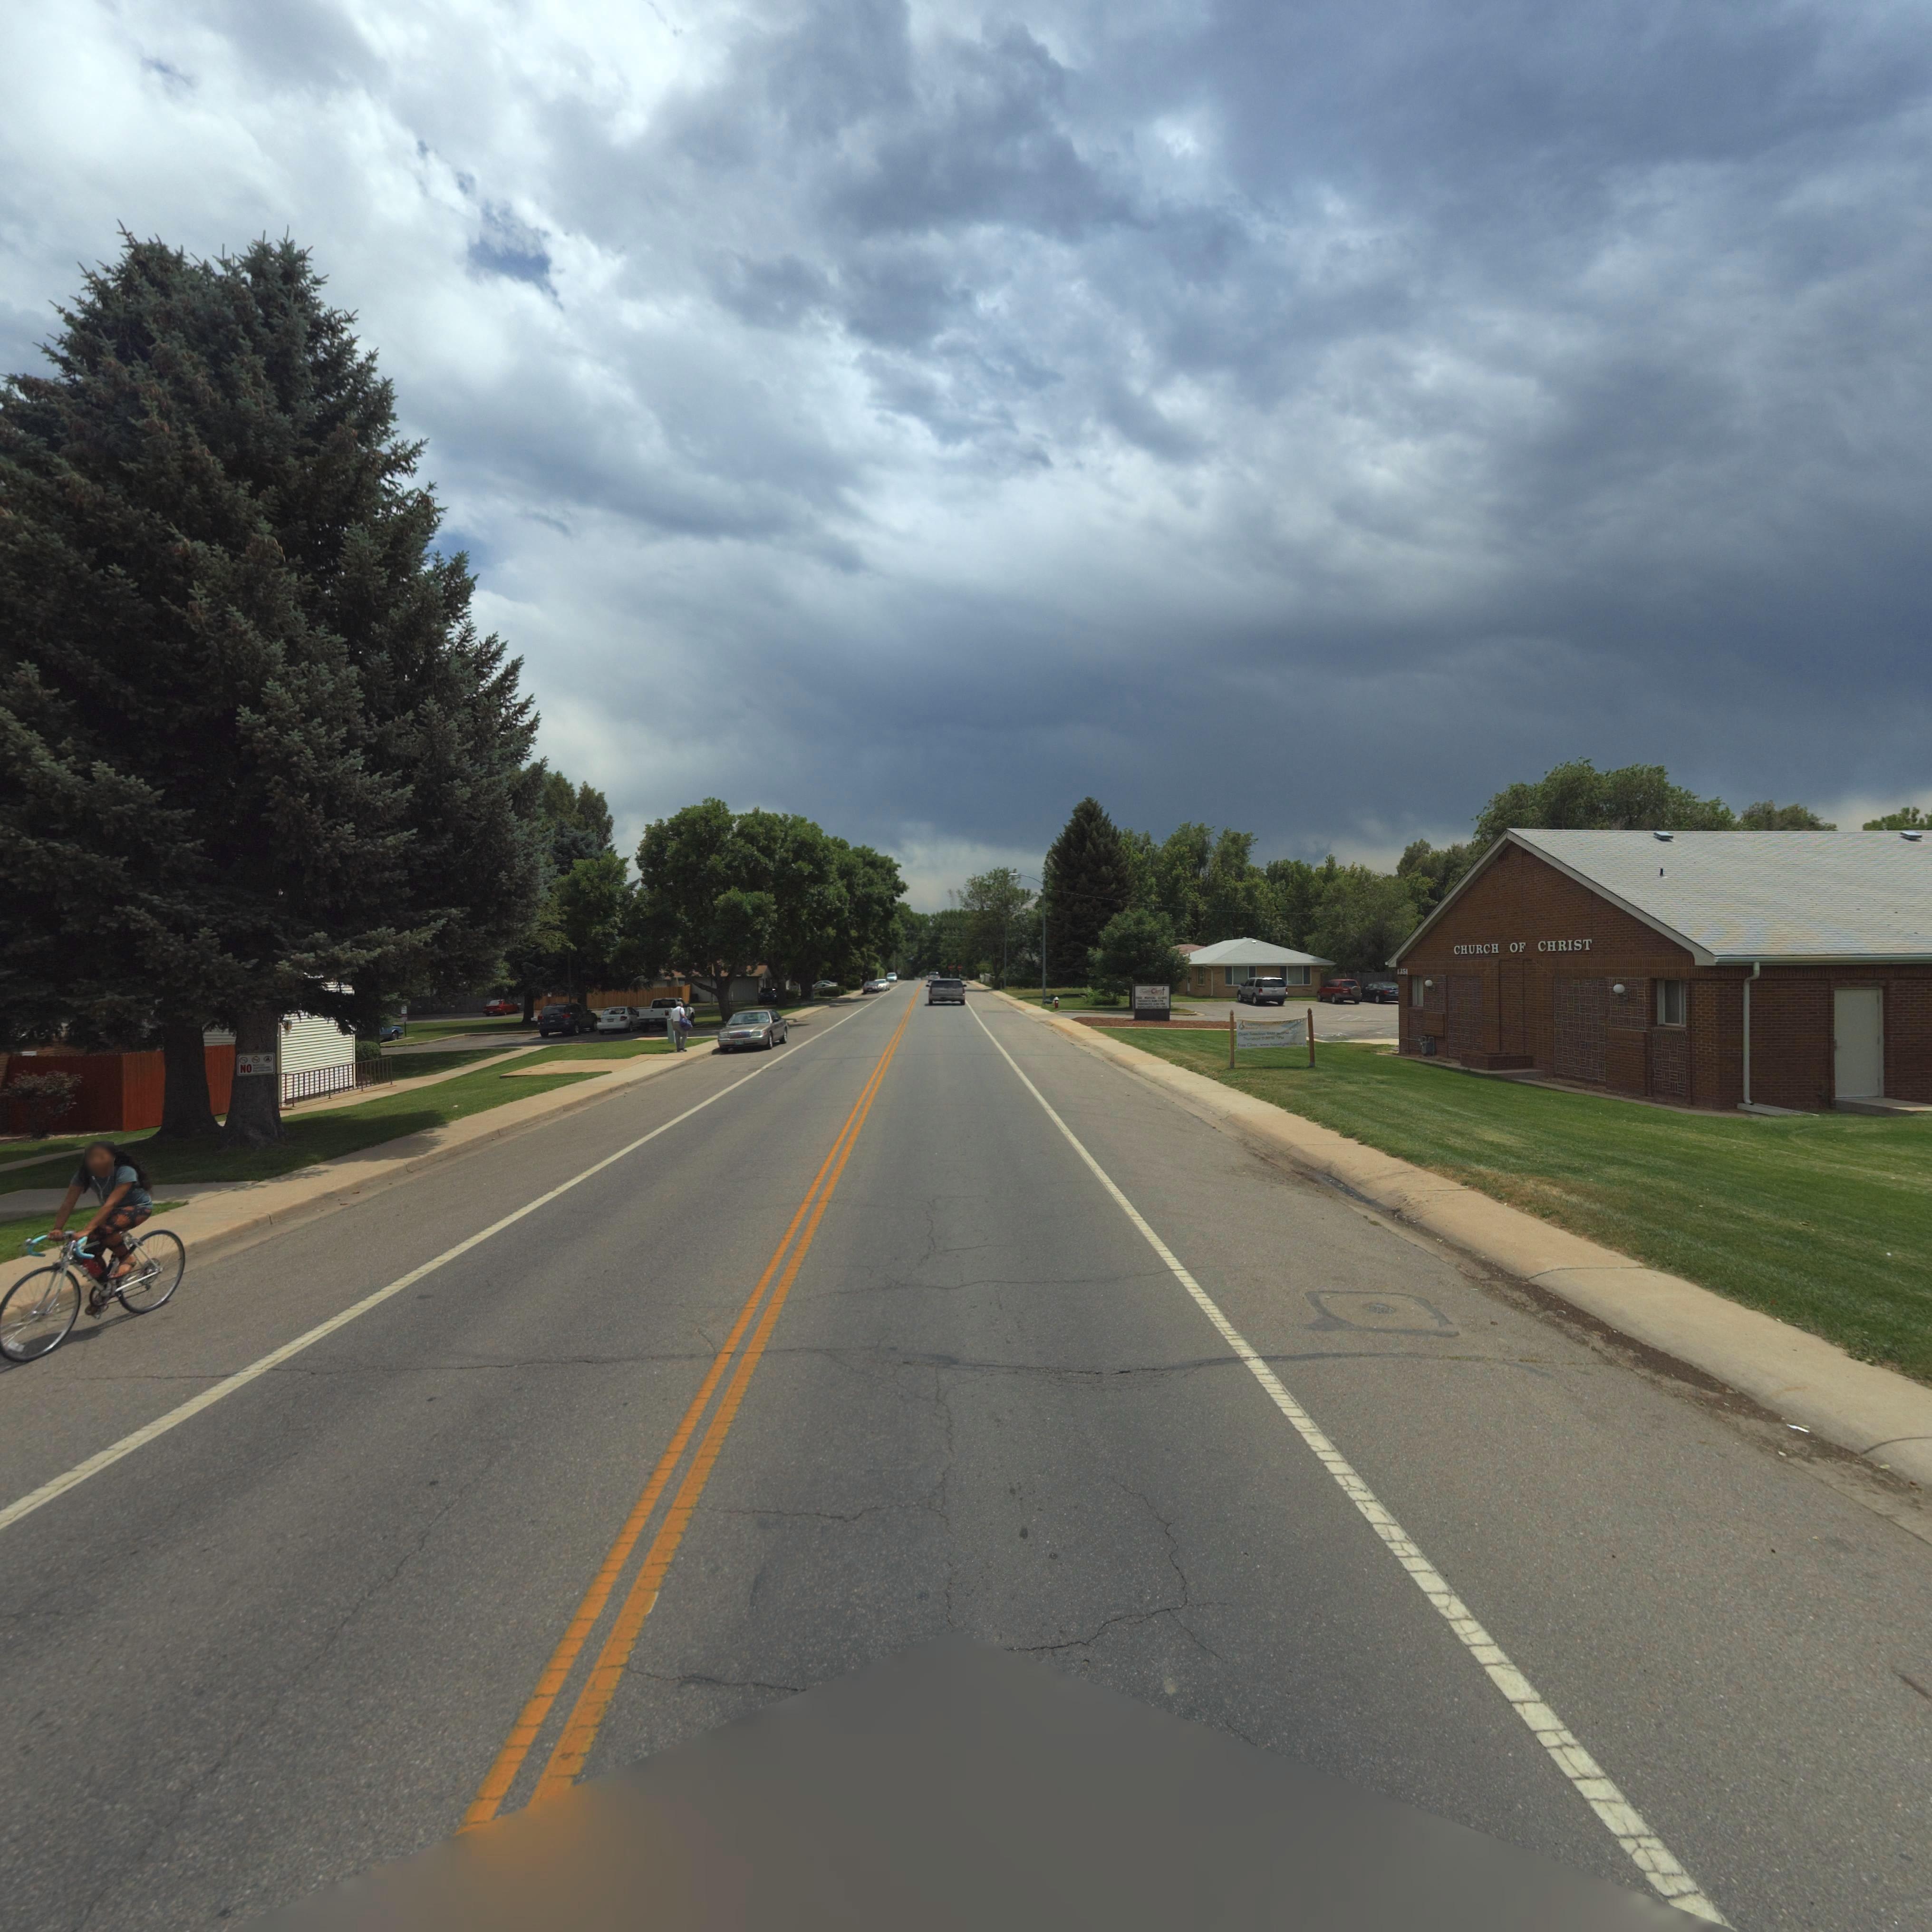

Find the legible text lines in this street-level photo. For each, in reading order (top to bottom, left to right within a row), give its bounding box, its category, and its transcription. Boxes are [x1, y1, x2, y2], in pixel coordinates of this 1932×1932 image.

[1453, 939, 1592, 955] BusinessName: CHURCH OF CHRIST
[1397, 968, 1408, 975] StreetNumber: 1351
[1139, 986, 1165, 995] BusinessName: Ch**ch Christ